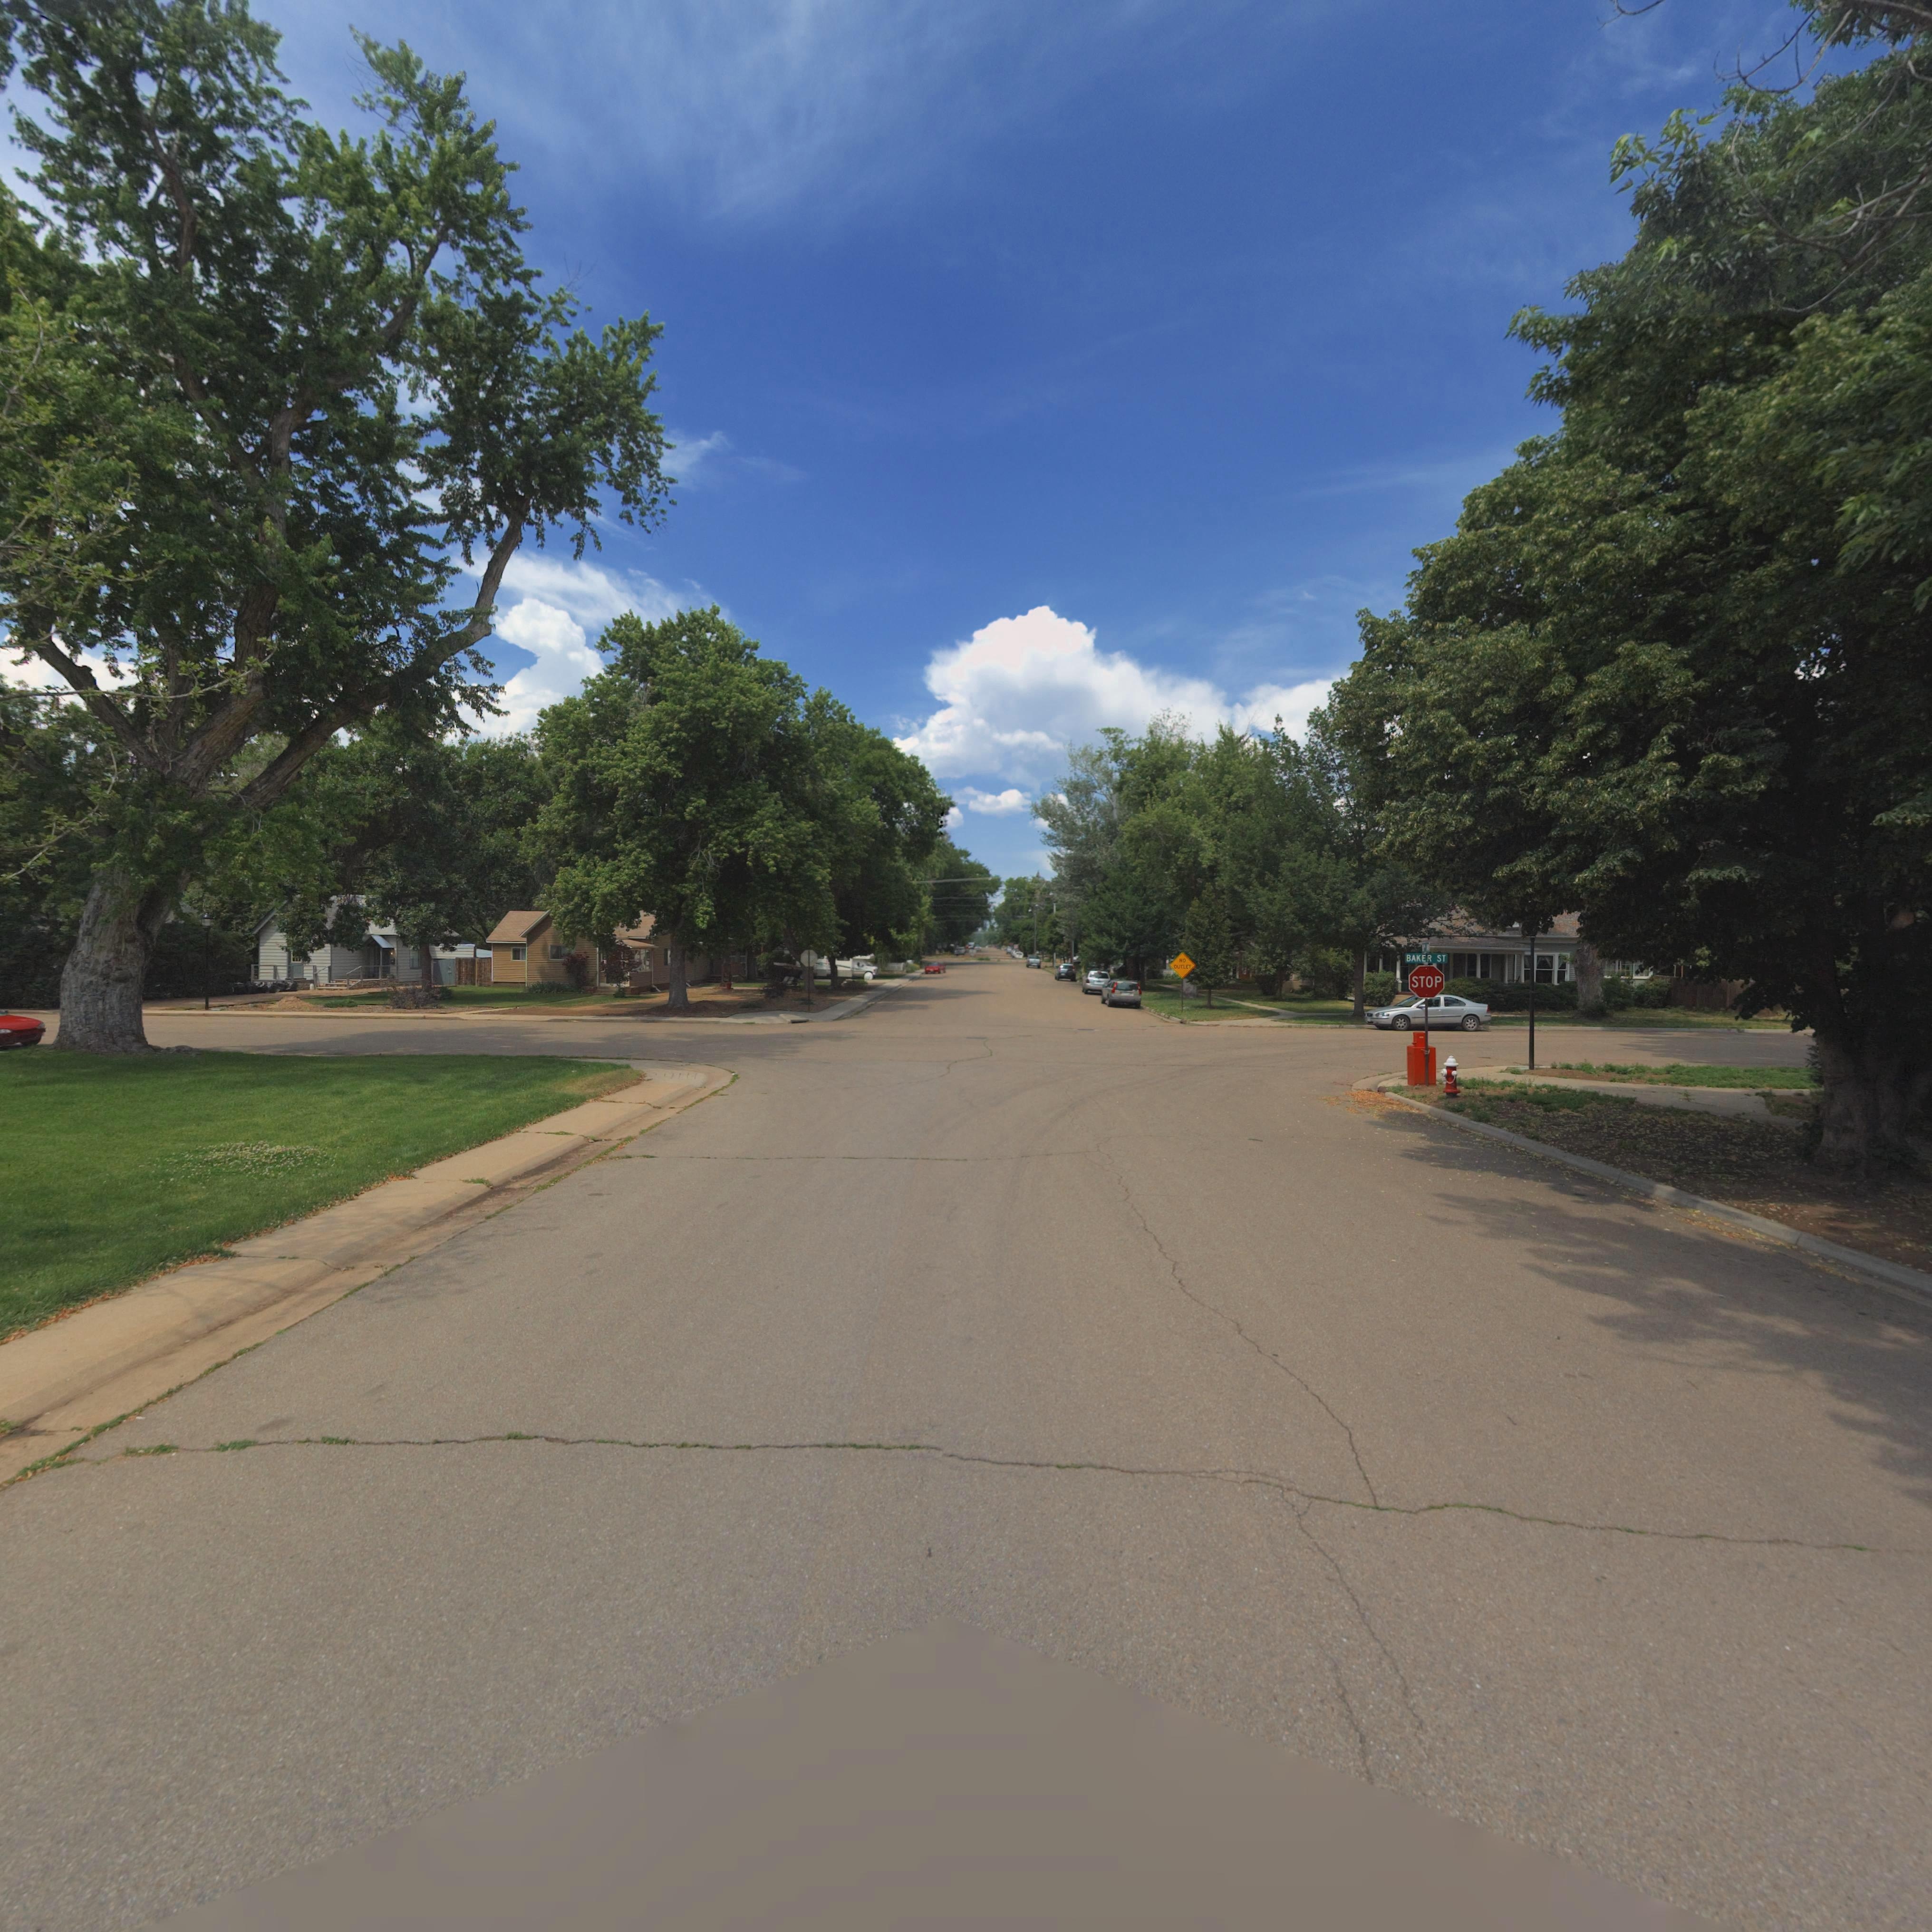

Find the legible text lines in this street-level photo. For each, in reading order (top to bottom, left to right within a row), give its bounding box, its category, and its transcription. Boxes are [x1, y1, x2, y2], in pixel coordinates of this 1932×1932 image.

[1422, 943, 1429, 951] StreetName: 8** A*
[1406, 954, 1446, 962] StreetName: BAKER ST